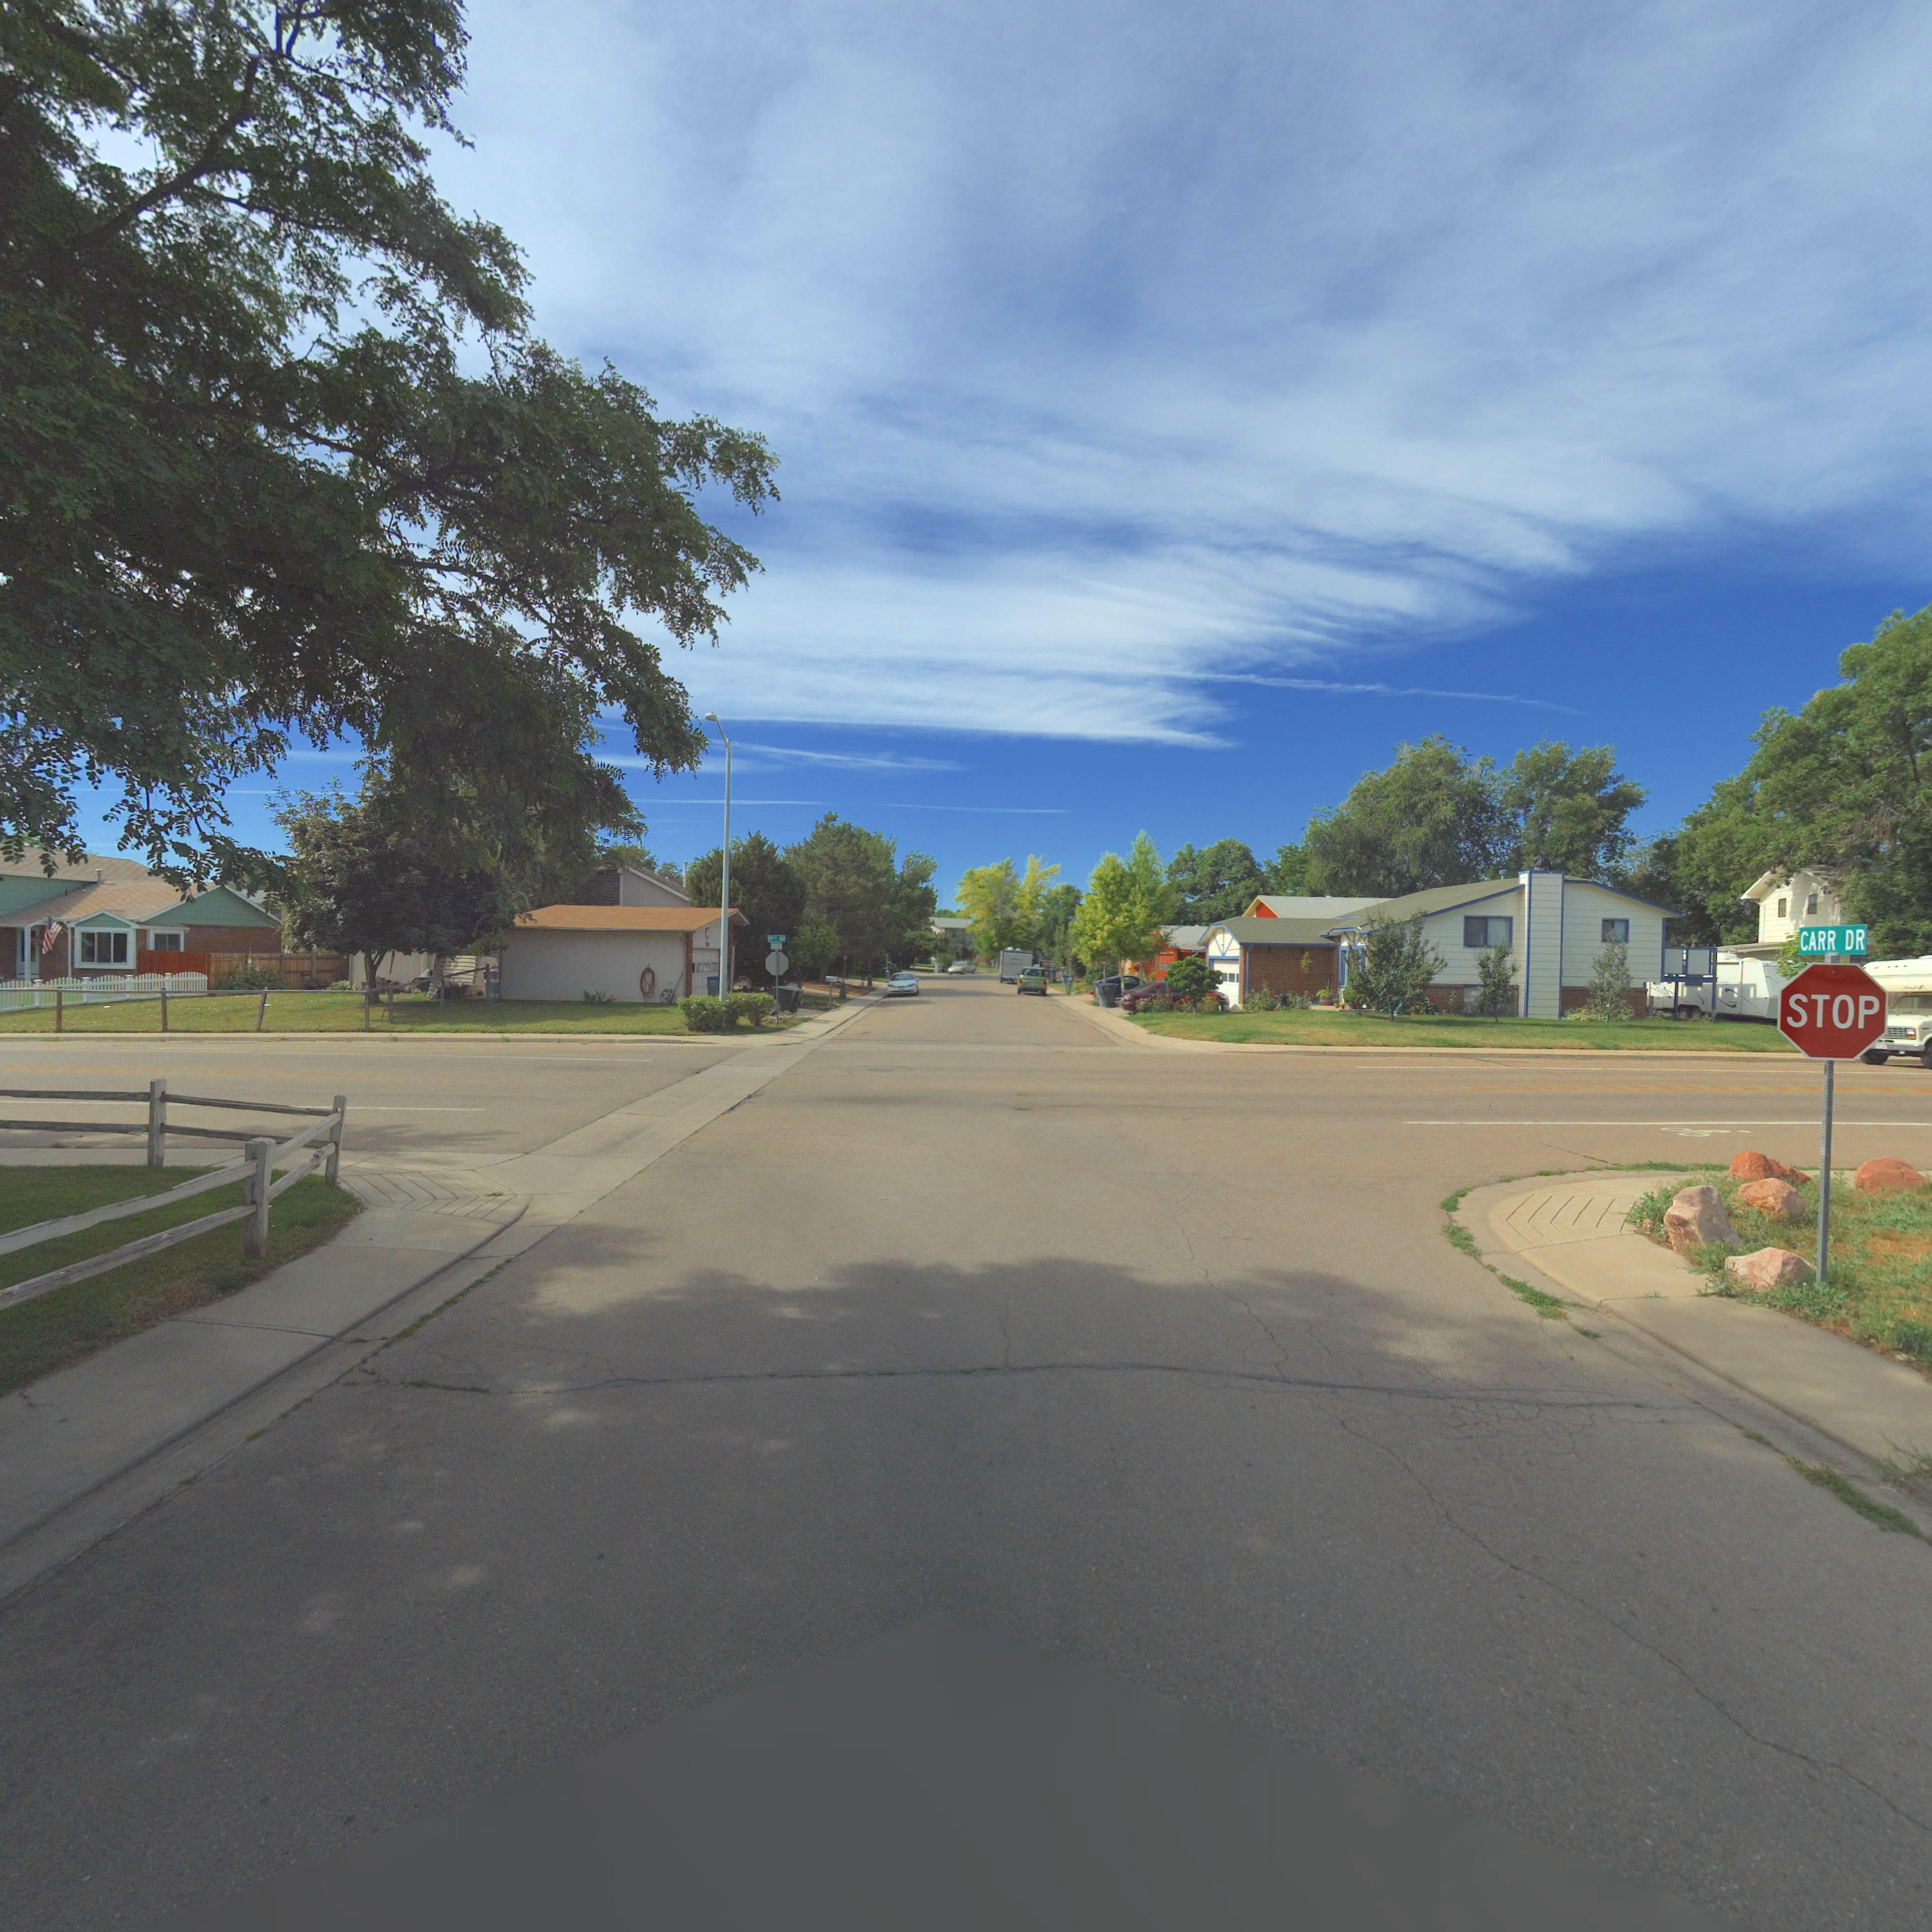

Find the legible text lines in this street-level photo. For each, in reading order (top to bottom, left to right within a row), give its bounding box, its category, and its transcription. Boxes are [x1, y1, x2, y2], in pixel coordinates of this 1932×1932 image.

[767, 935, 786, 942] StreetName: 19** AV
[1800, 928, 1865, 951] StreetName: CARR DR